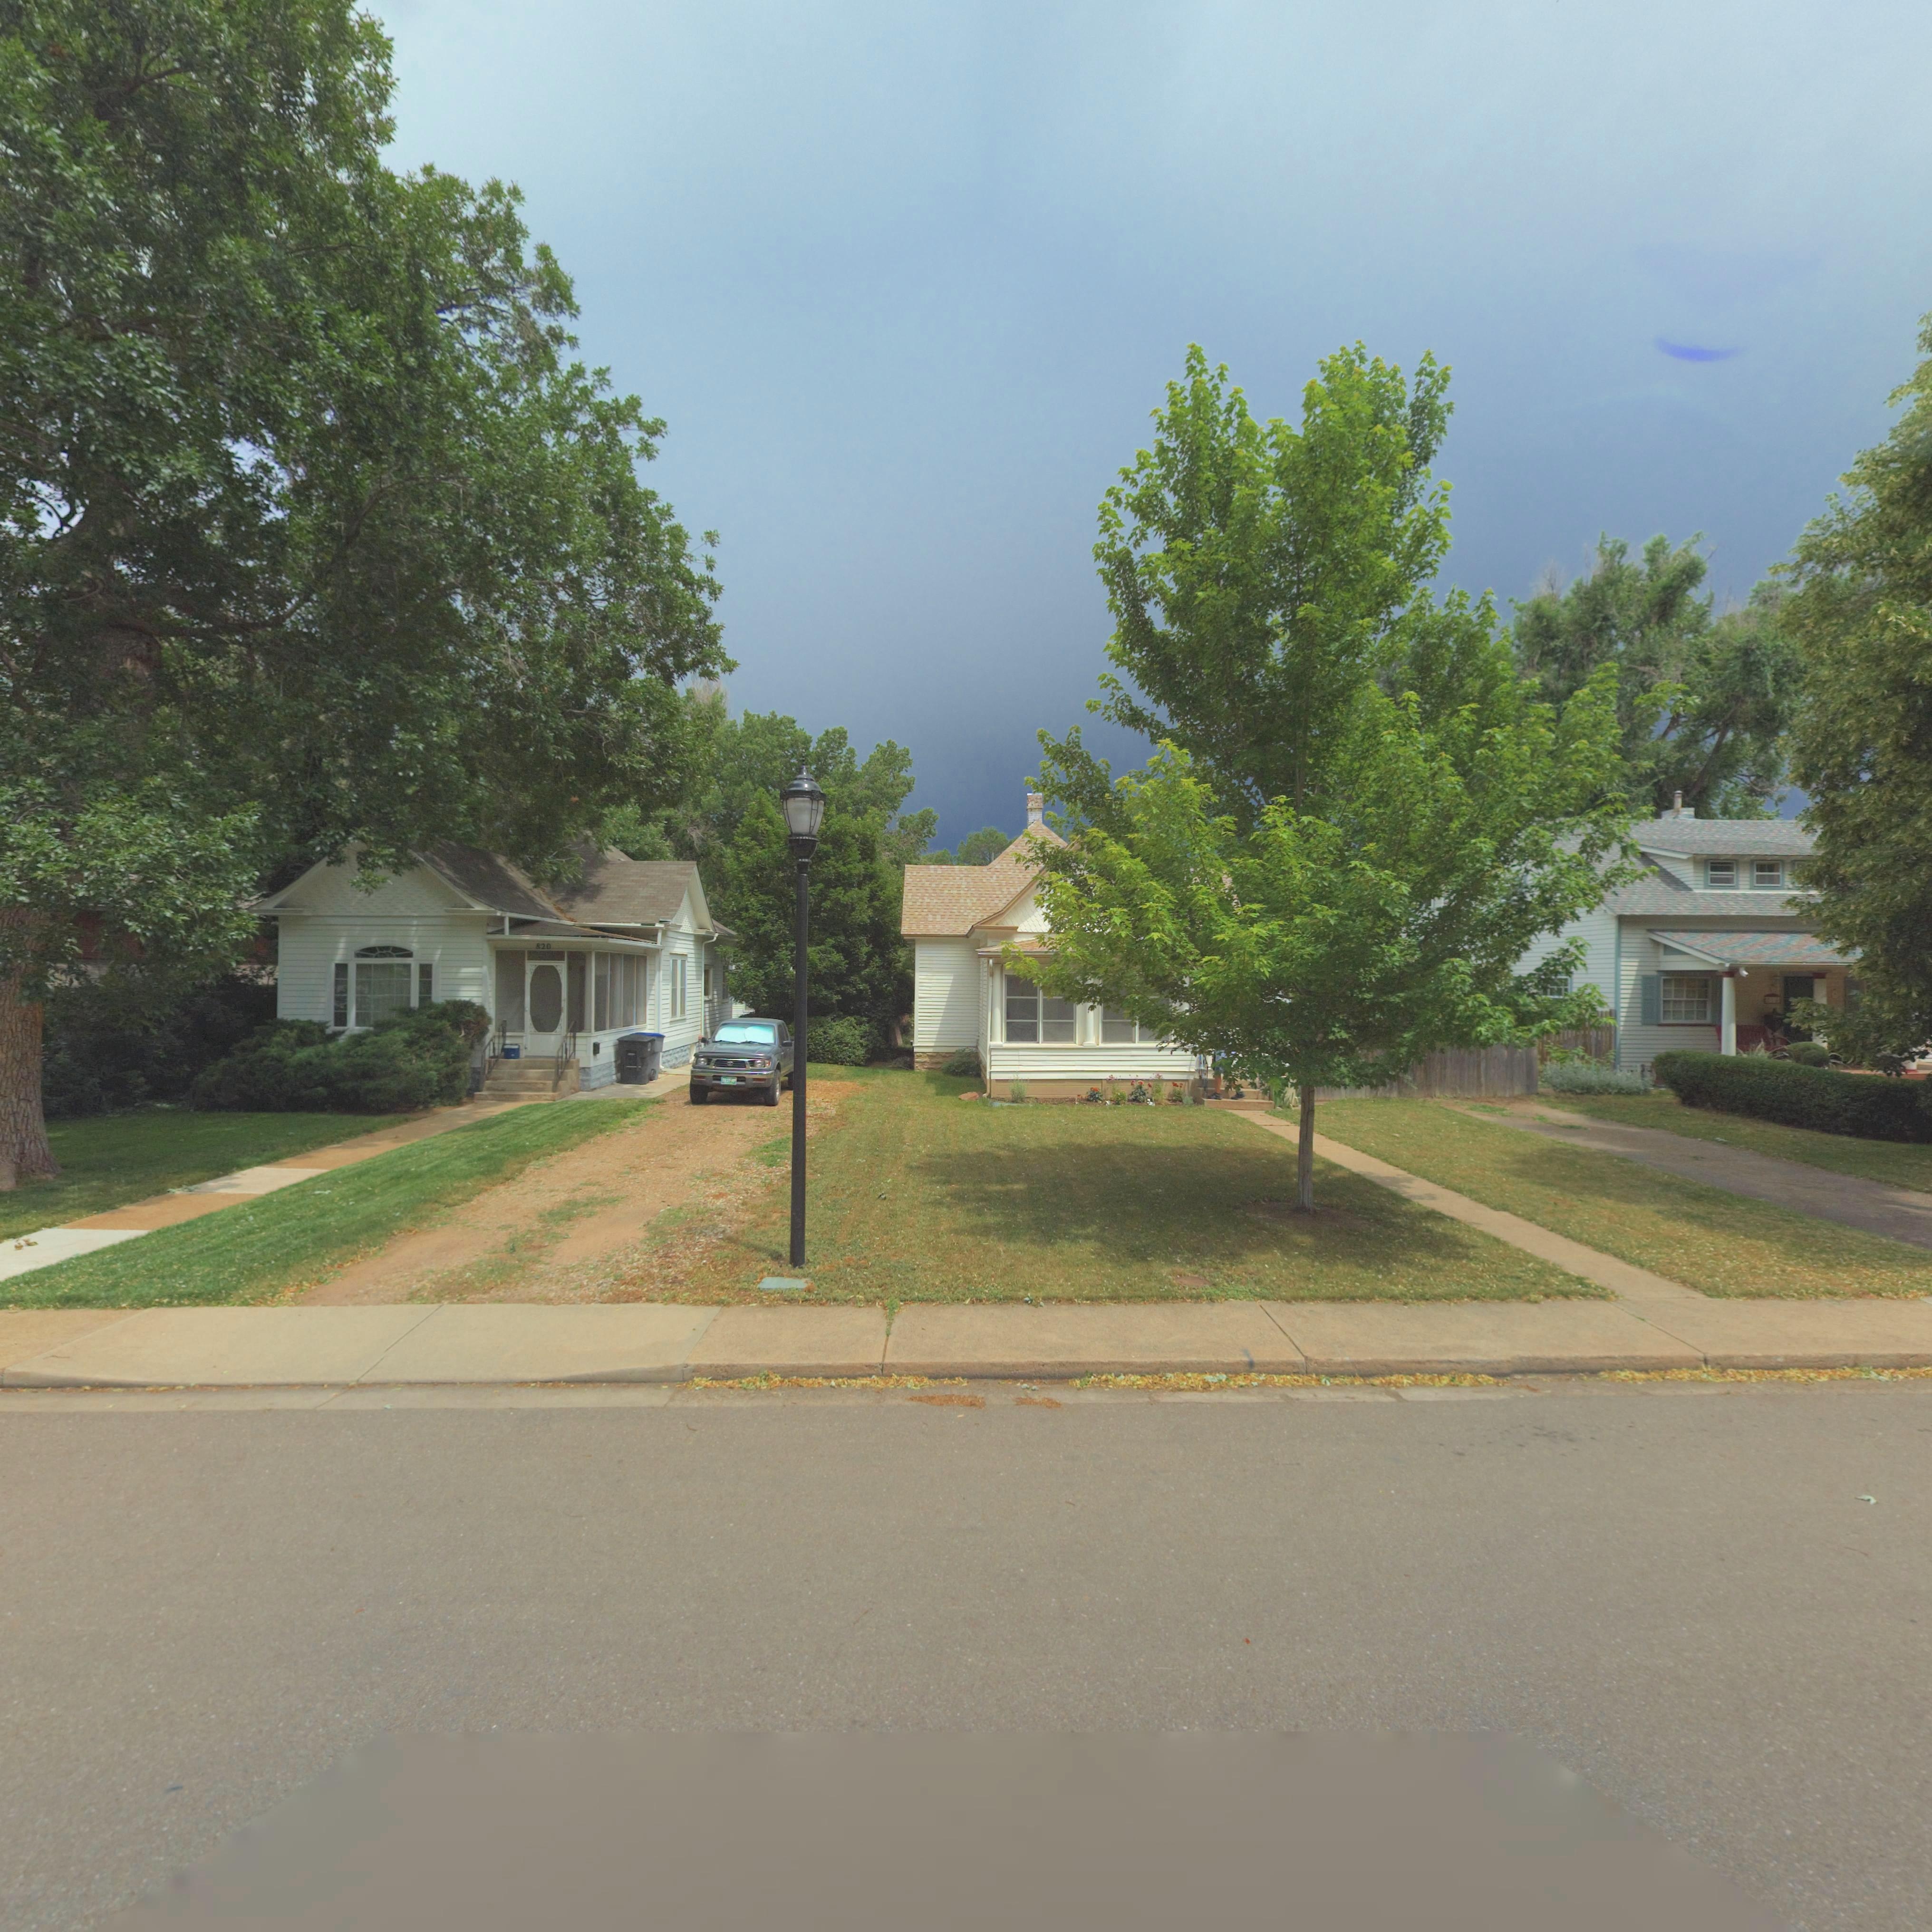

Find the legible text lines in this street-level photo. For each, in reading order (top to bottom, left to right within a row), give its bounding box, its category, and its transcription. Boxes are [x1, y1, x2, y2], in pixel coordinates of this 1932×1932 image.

[535, 942, 551, 949] StreetNumber: 820